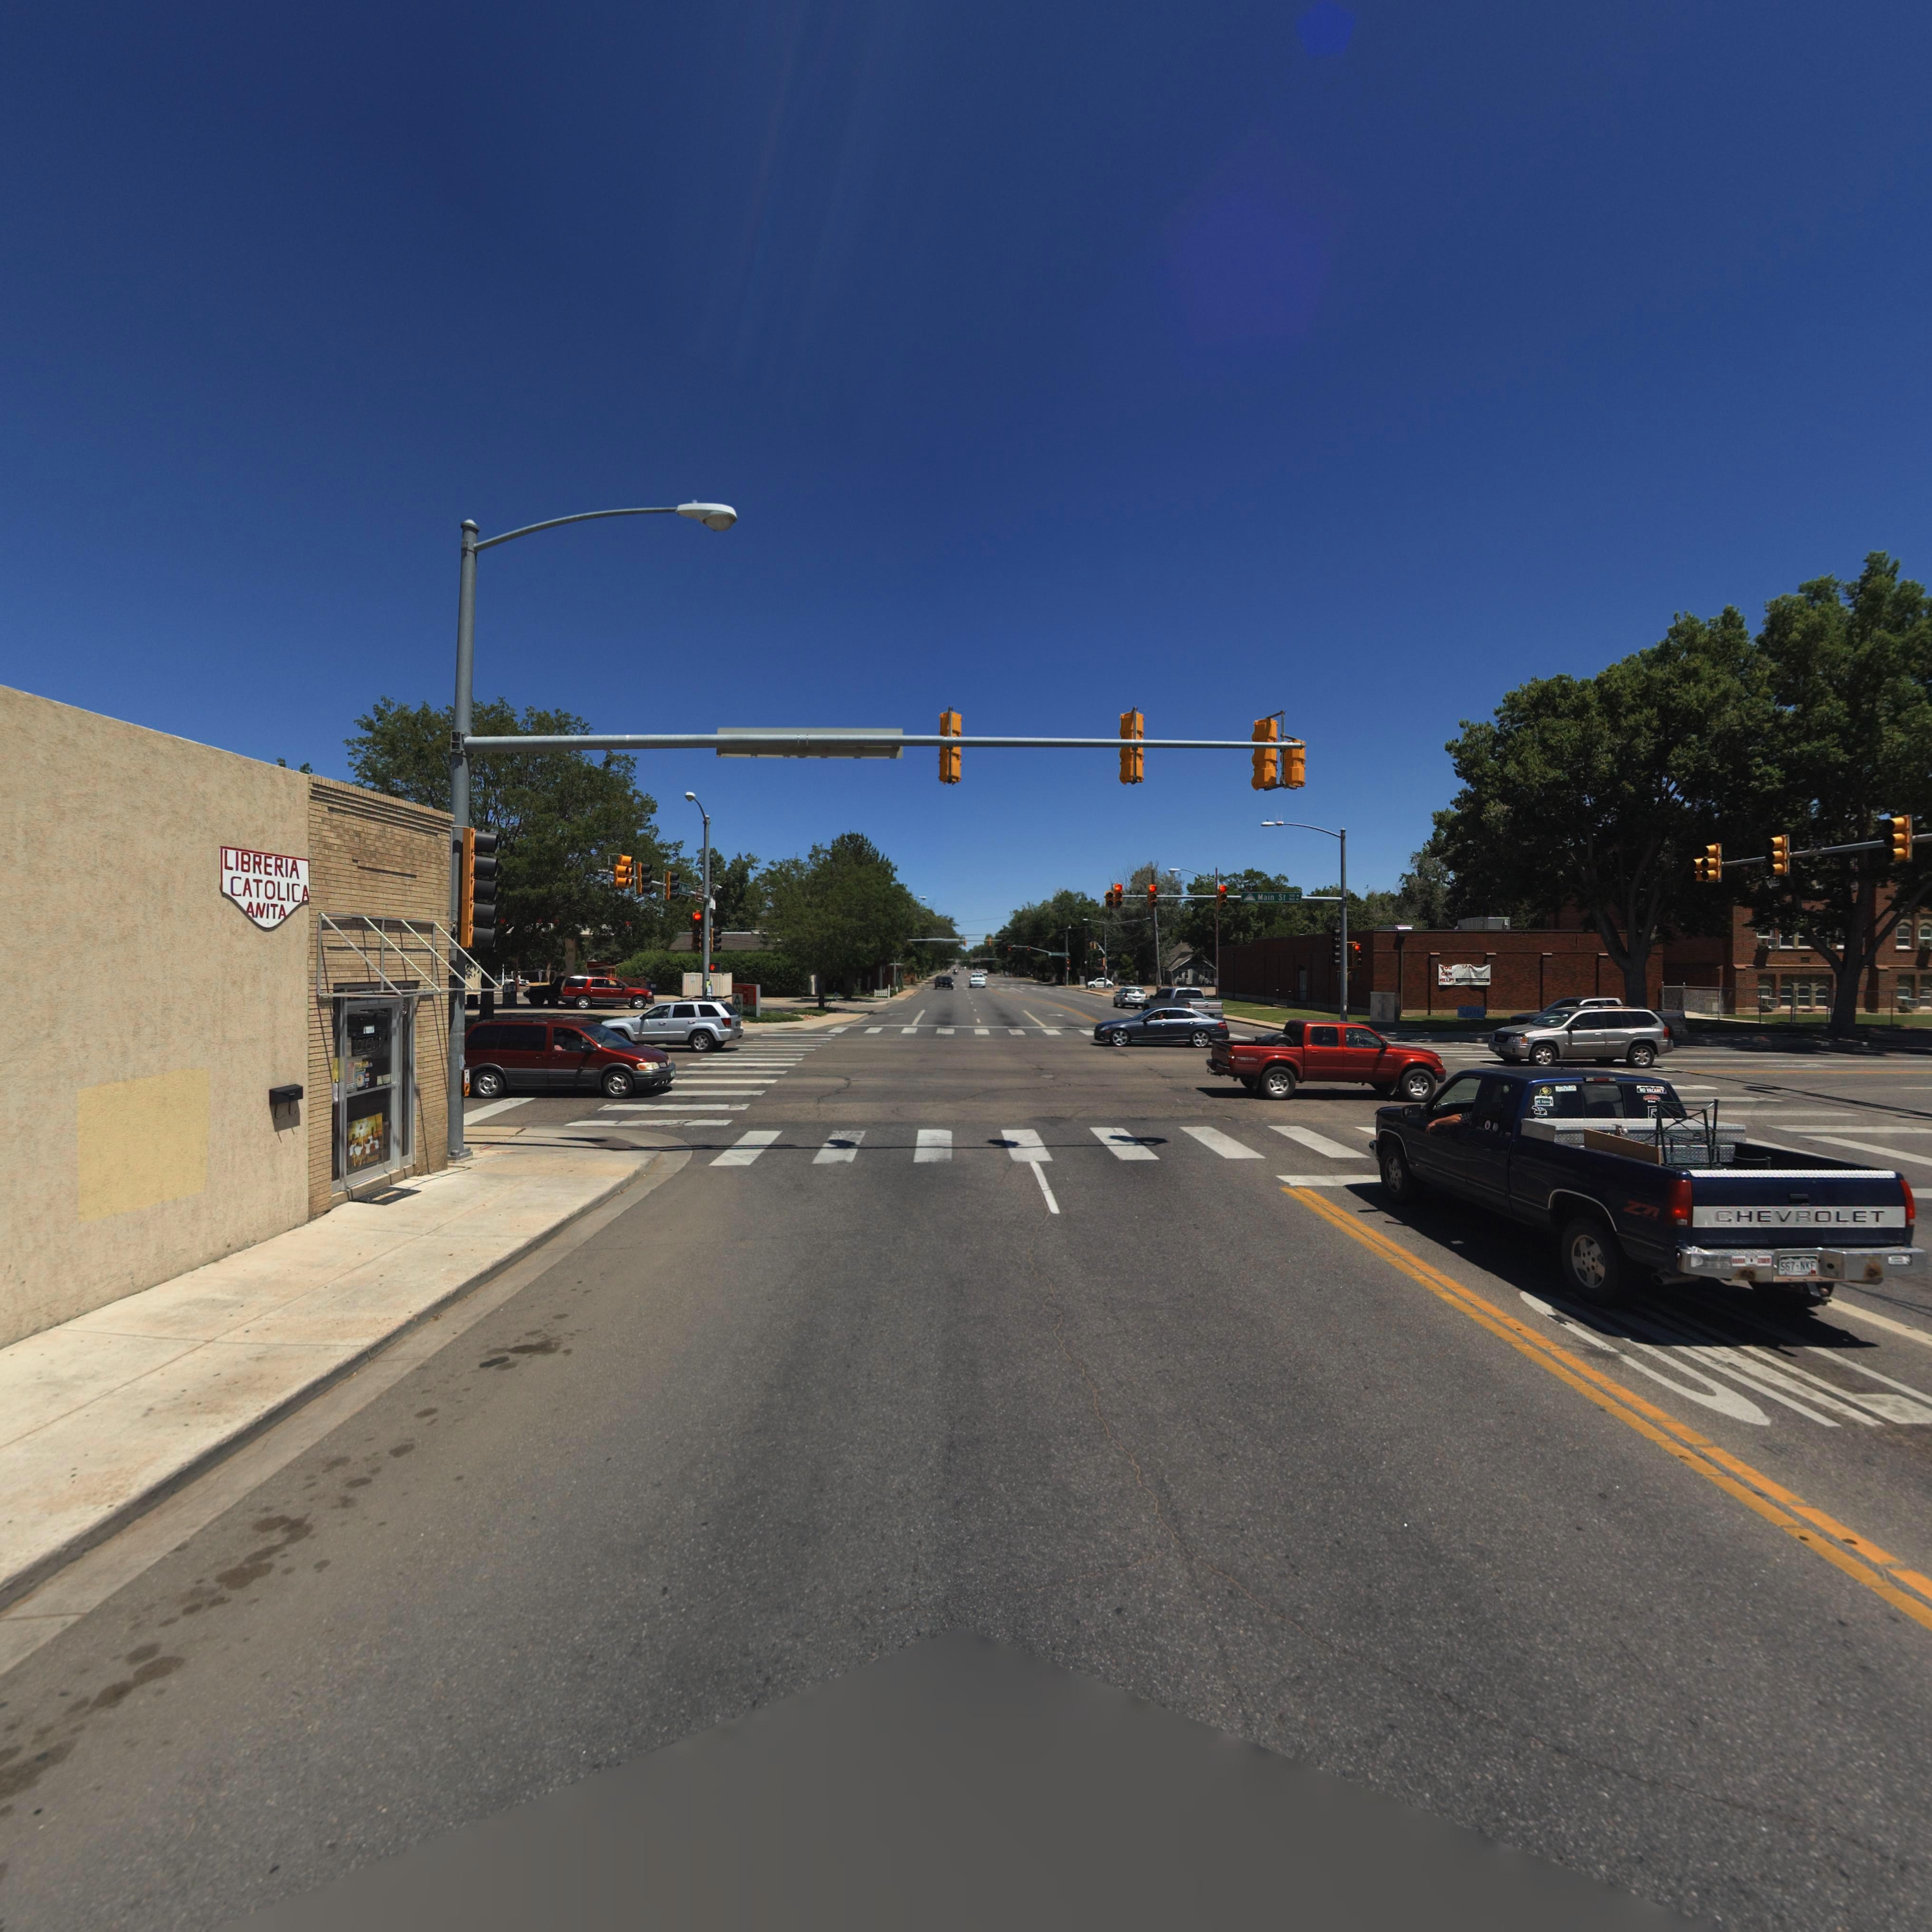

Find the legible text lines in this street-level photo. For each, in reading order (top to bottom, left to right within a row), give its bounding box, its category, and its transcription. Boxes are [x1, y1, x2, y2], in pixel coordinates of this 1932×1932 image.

[223, 849, 299, 879] BusinessName: LIBRERIA
[230, 875, 309, 903] BusinessName: CATOLICA
[680, 884, 686, 893] StreetName: Ave
[1257, 893, 1286, 900] StreetName: Main St
[1289, 894, 1295, 897] StreetNumberRange: *0*
[1288, 898, 1299, 900] StreetNumberRange: *00 ->
[245, 901, 286, 919] BusinessName: ANITA